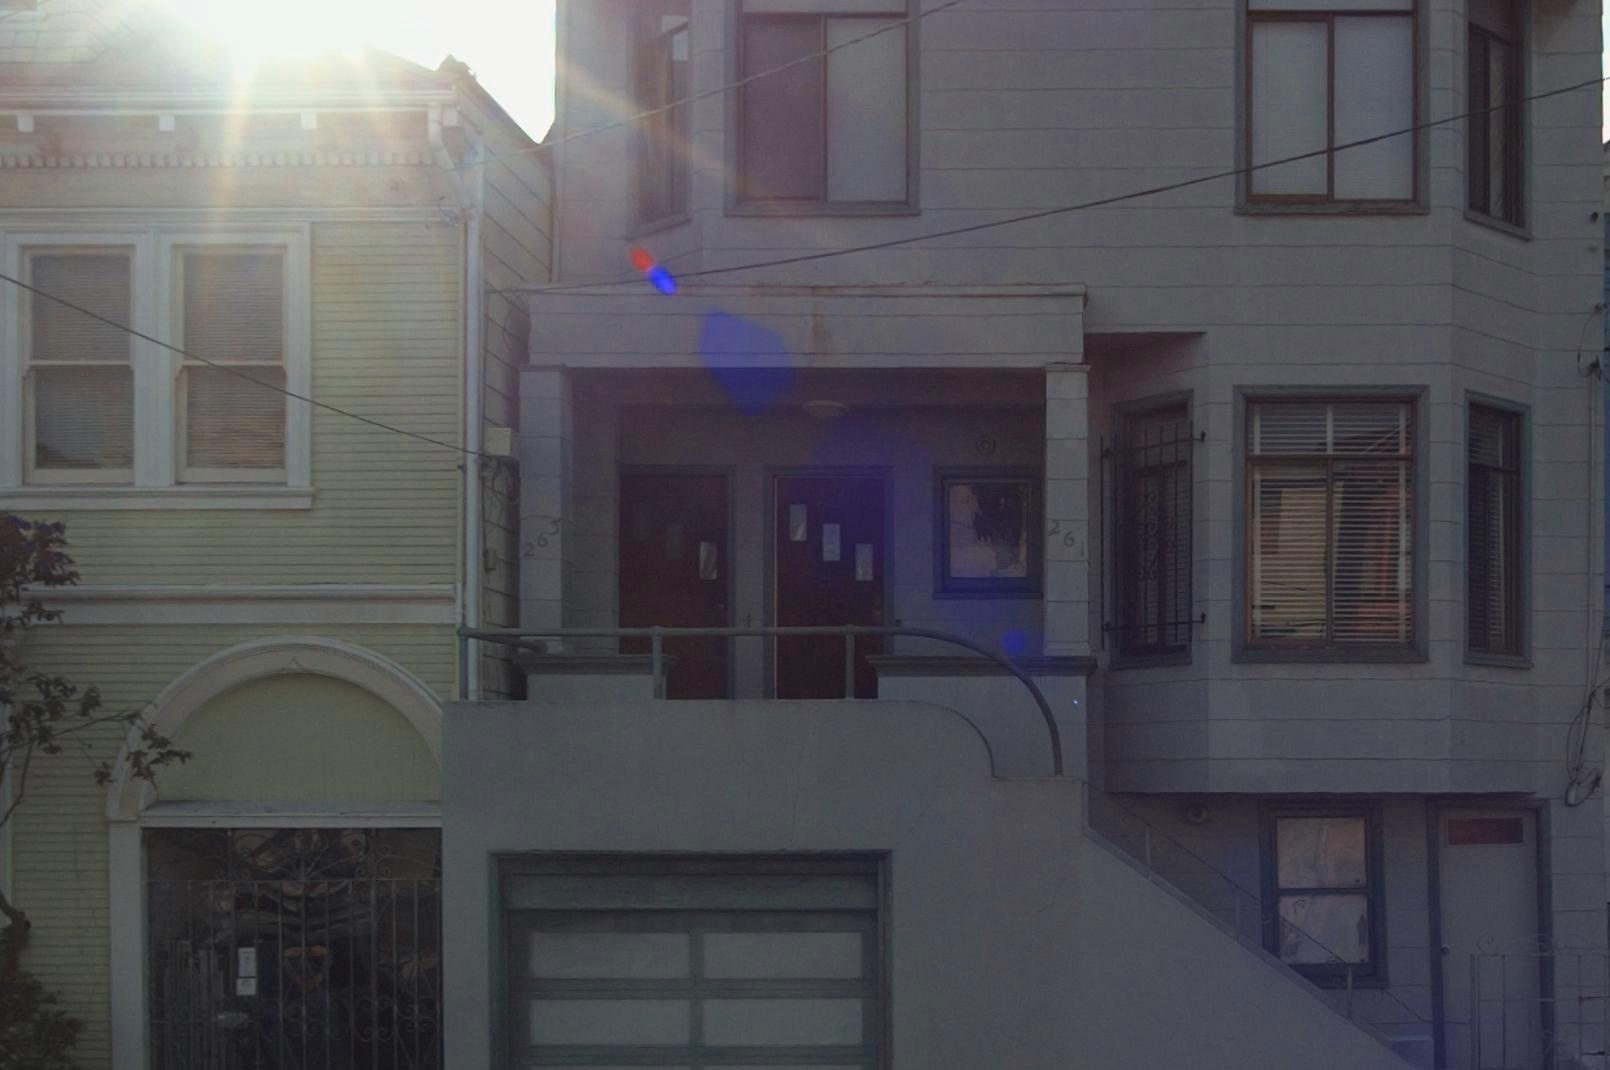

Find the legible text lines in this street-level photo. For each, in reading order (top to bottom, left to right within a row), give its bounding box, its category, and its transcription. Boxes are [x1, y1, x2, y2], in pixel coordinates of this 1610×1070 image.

[521, 518, 562, 558] StreetNumber: 263
[1047, 518, 1088, 560] StreetNumber: 261